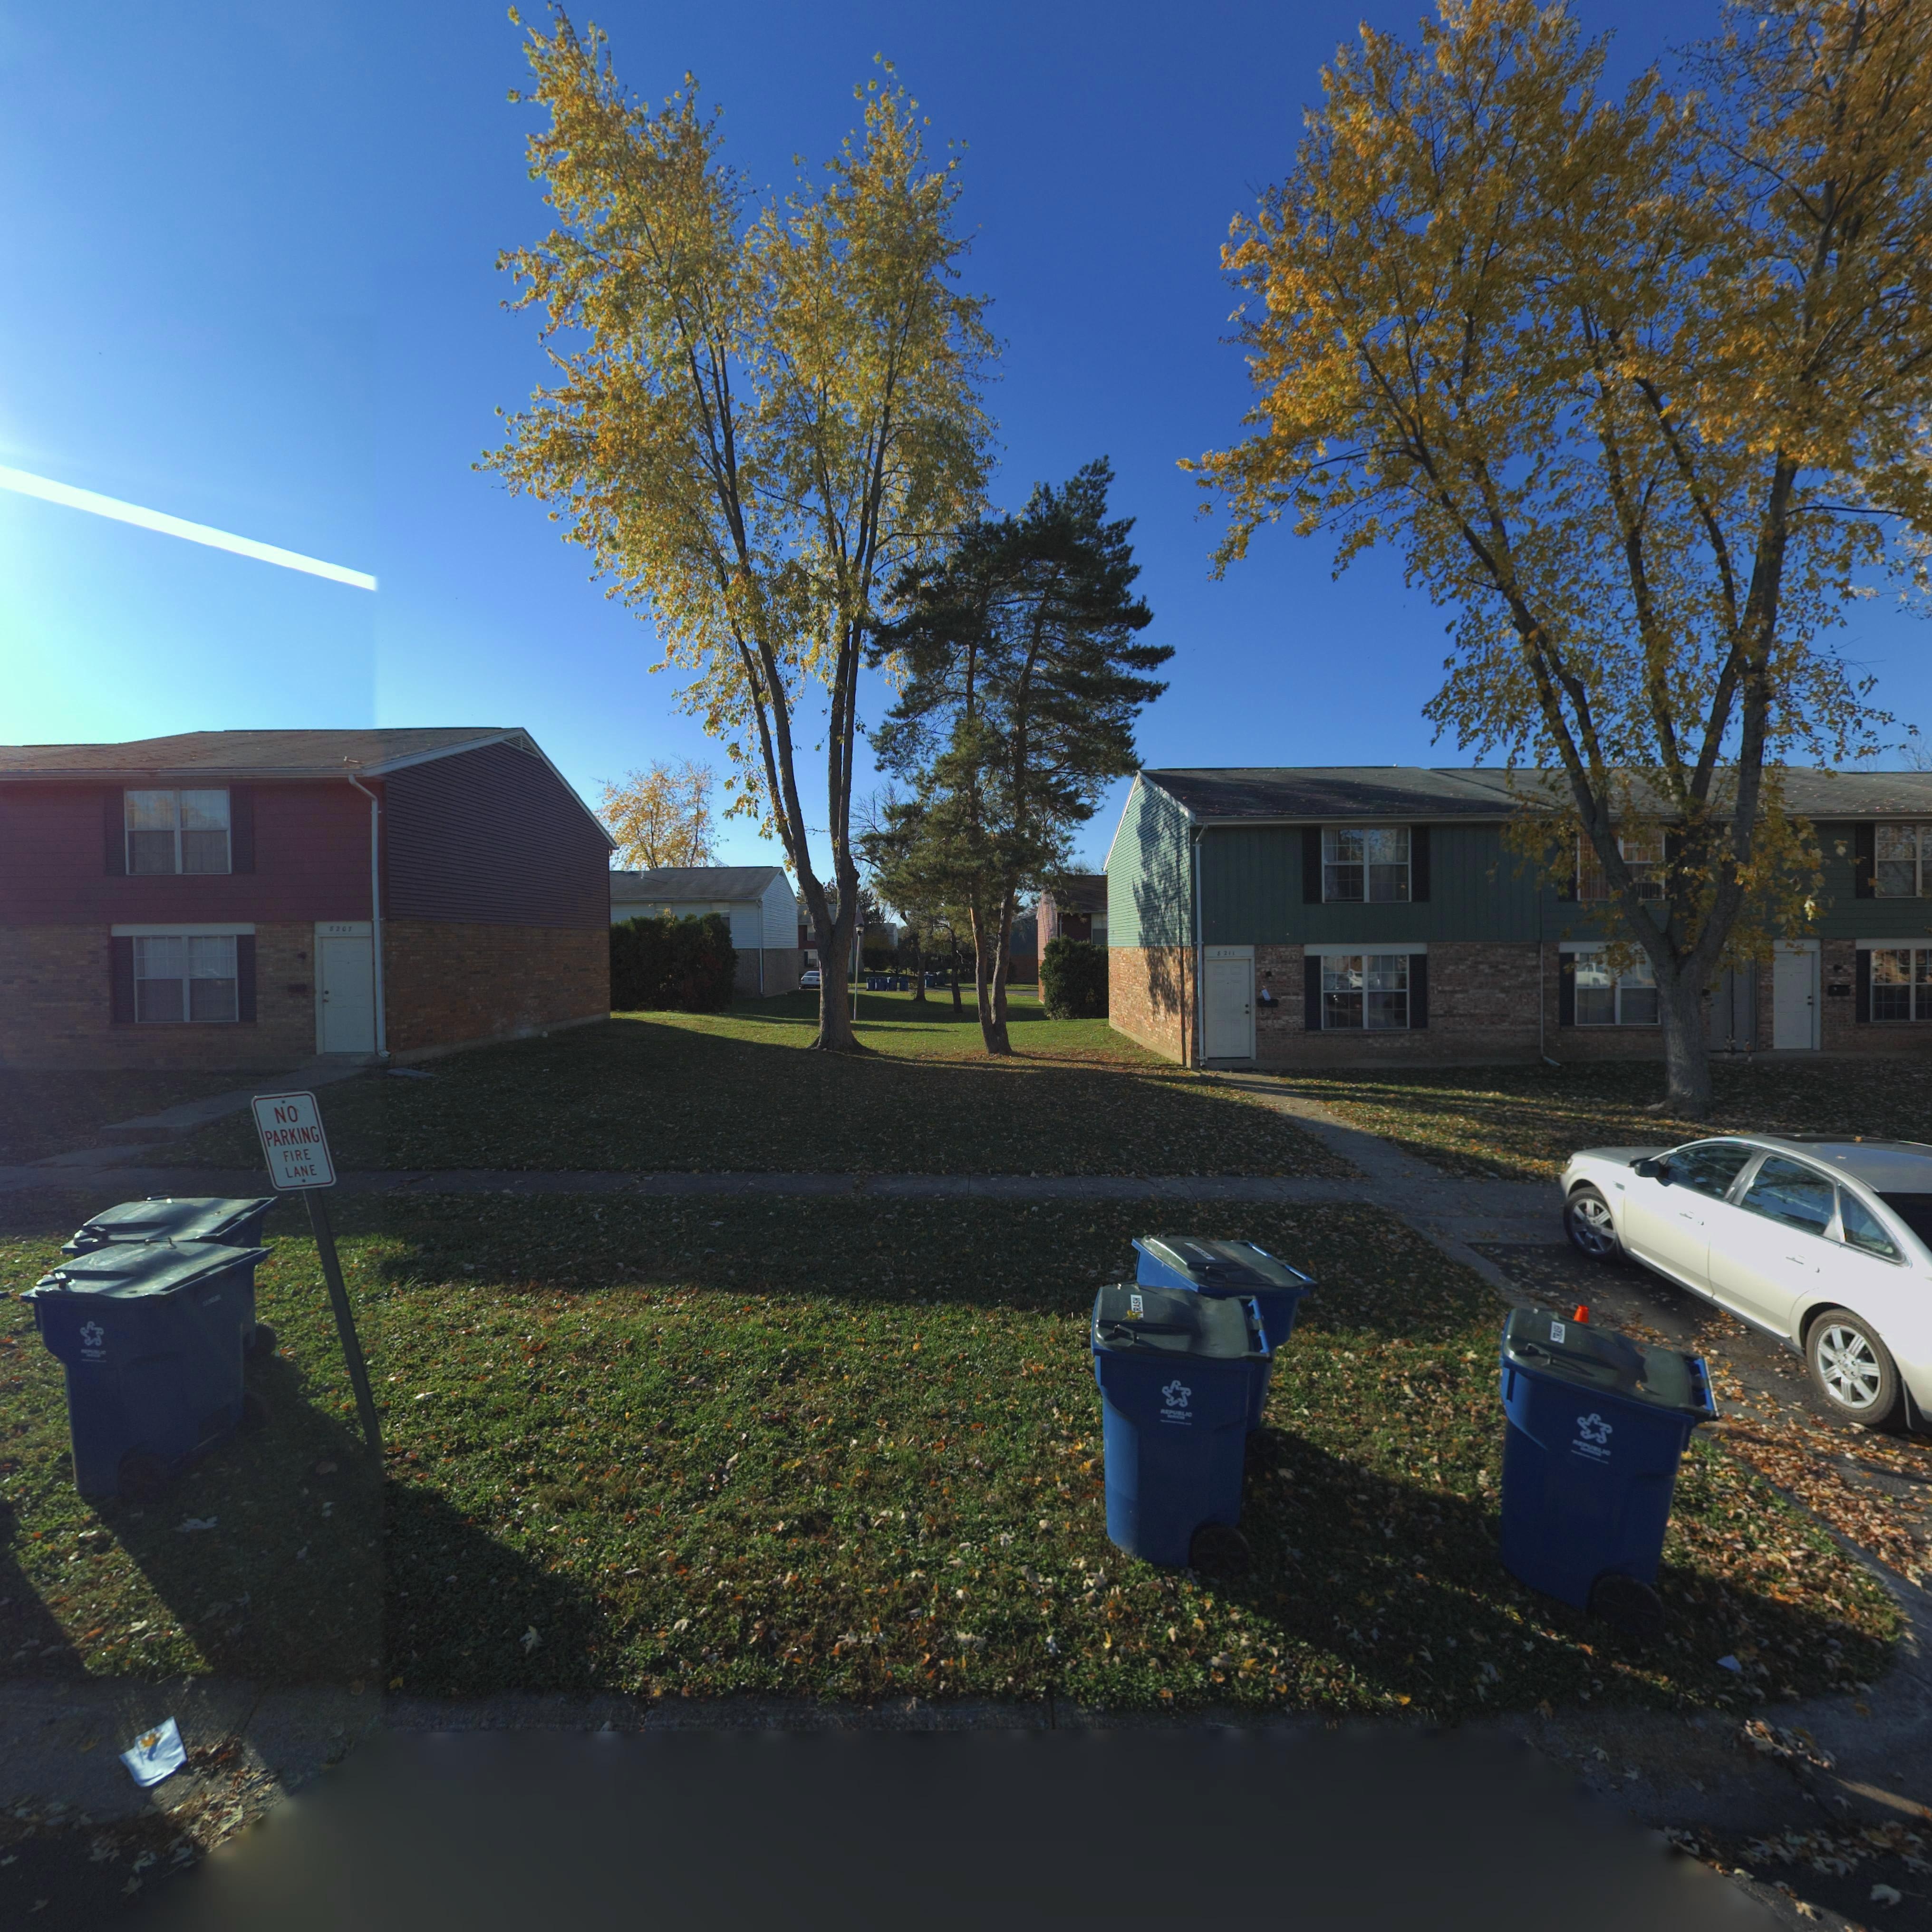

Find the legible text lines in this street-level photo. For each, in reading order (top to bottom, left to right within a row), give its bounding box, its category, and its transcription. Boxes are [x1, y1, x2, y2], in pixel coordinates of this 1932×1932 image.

[328, 925, 353, 932] StreetNumber: 8207
[1217, 950, 1235, 956] StreetNumber: 8211